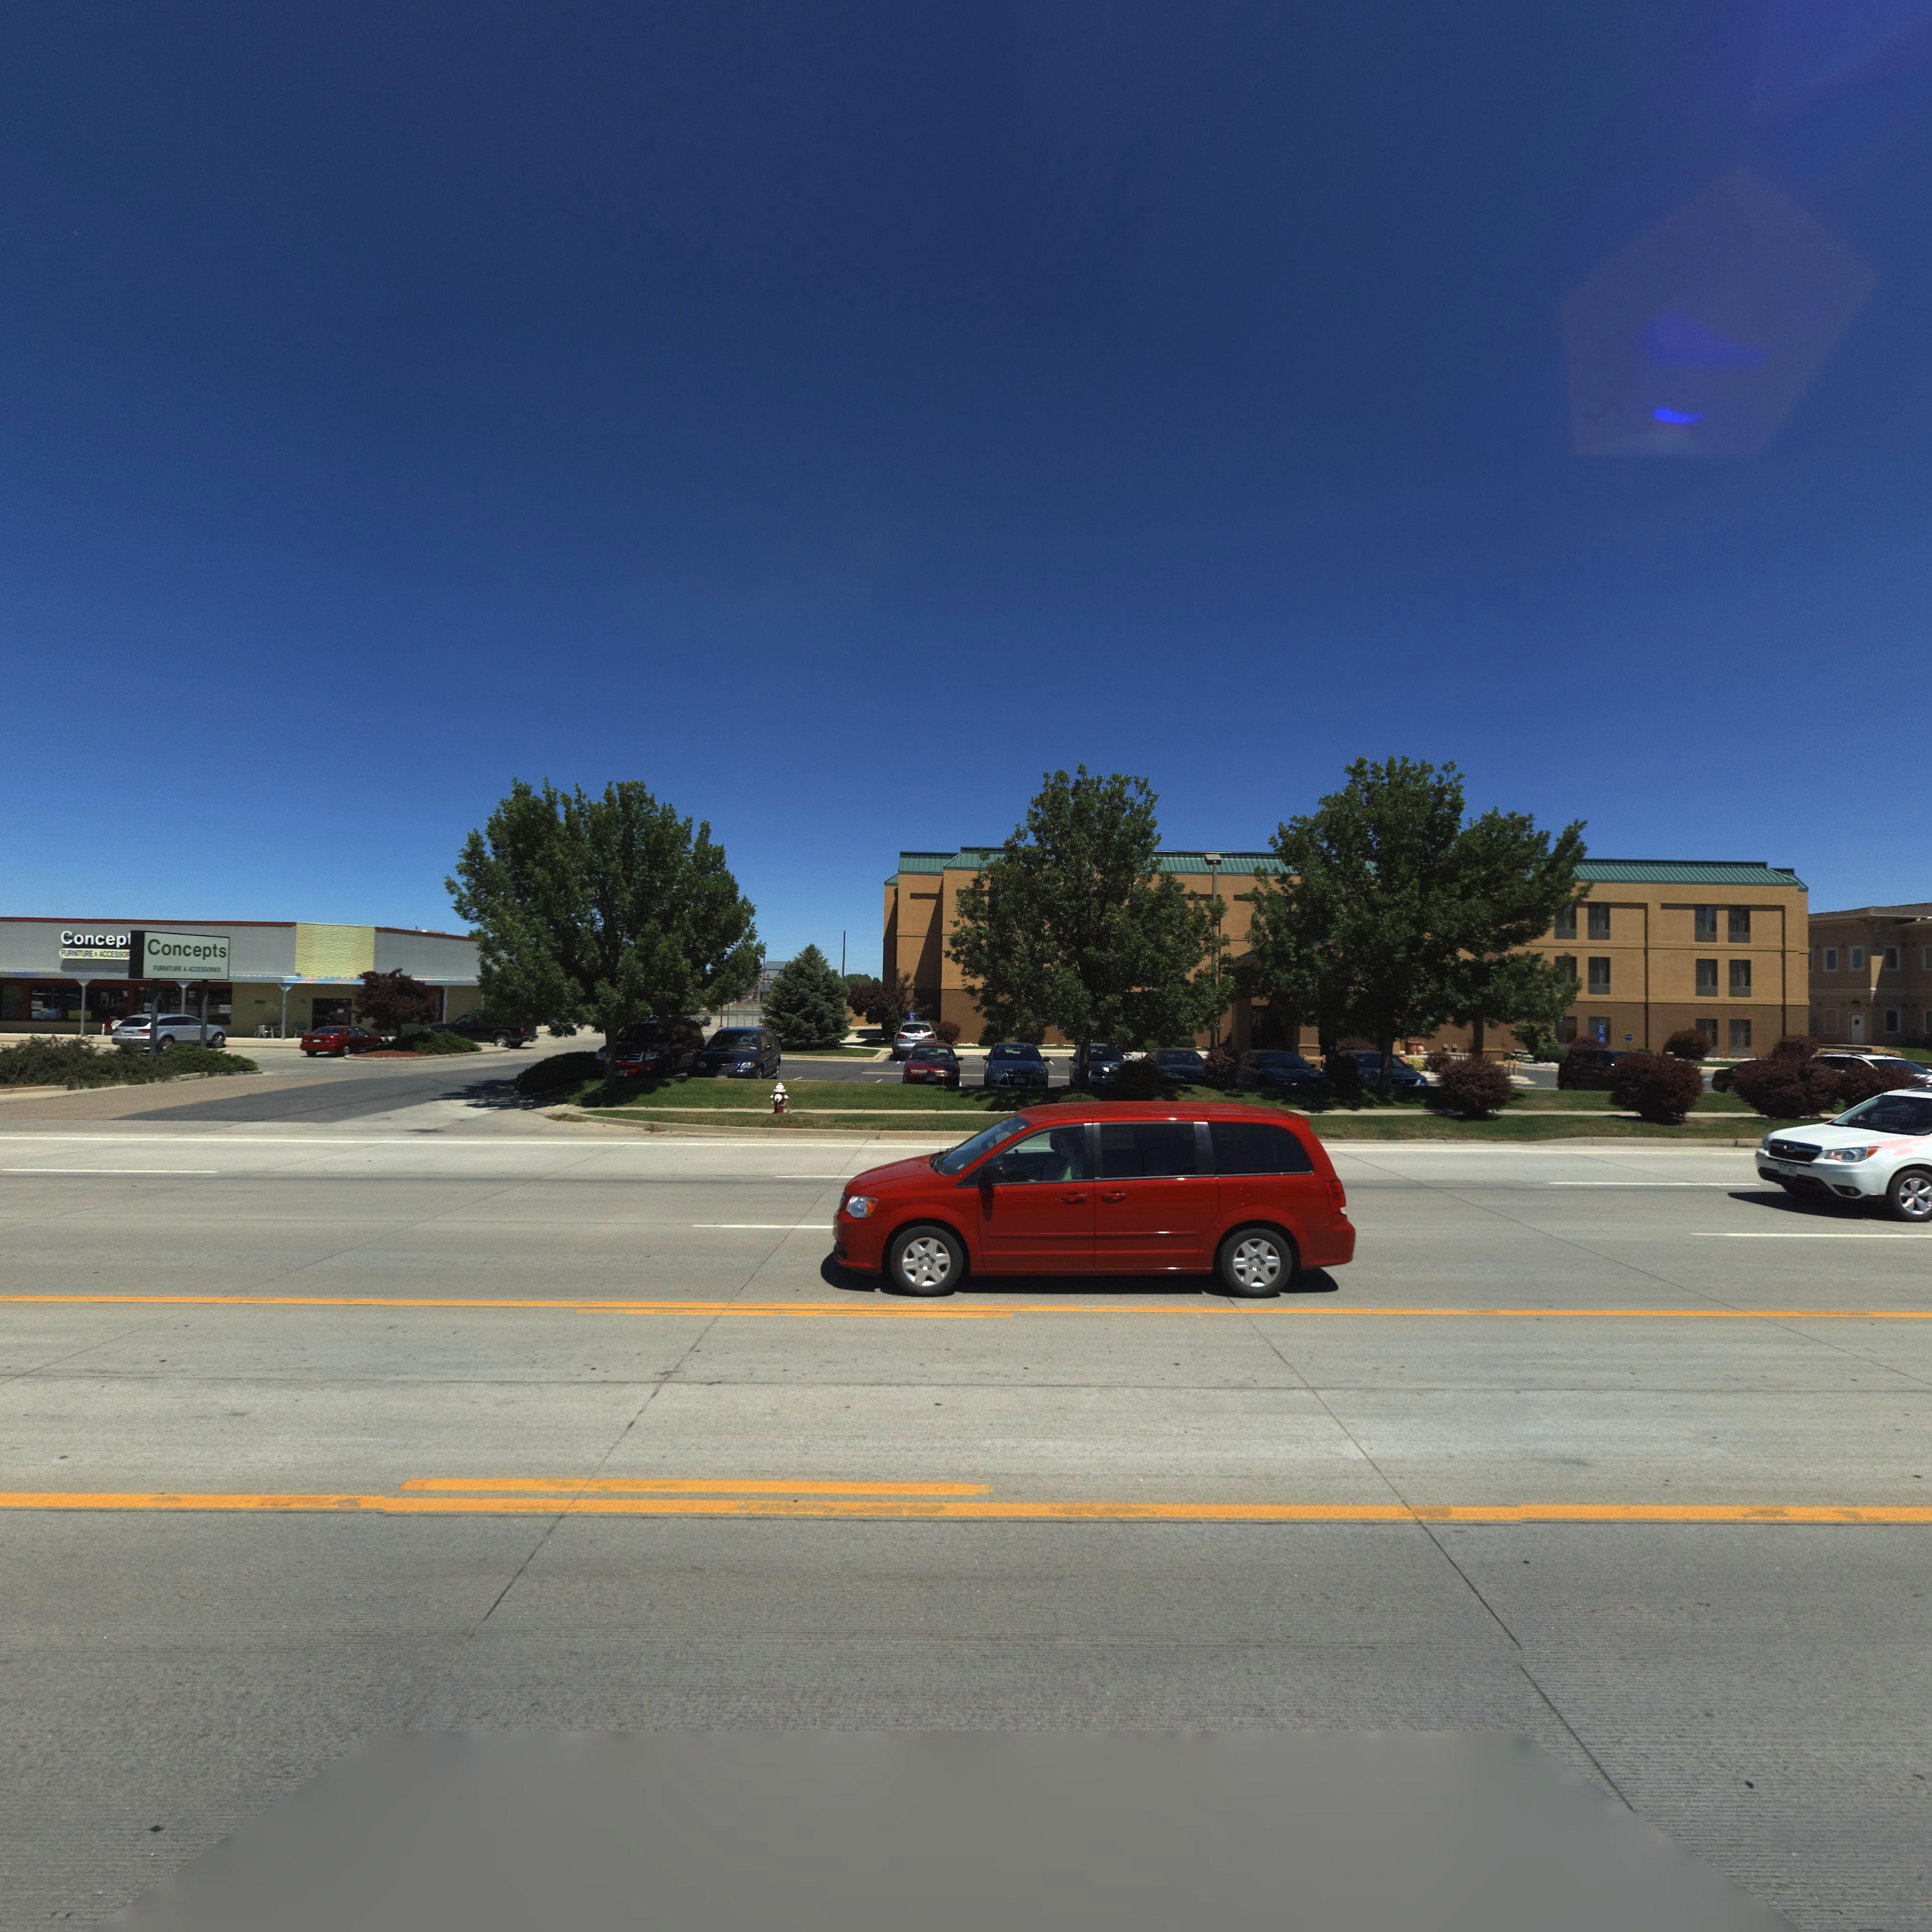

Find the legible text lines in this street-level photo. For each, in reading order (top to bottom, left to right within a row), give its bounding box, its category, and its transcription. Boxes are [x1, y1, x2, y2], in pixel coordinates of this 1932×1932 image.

[59, 929, 131, 948] BusinessName: Concep*
[146, 937, 226, 961] BusinessName: Concepts
[254, 1000, 264, 1004] StreetNumber: 800